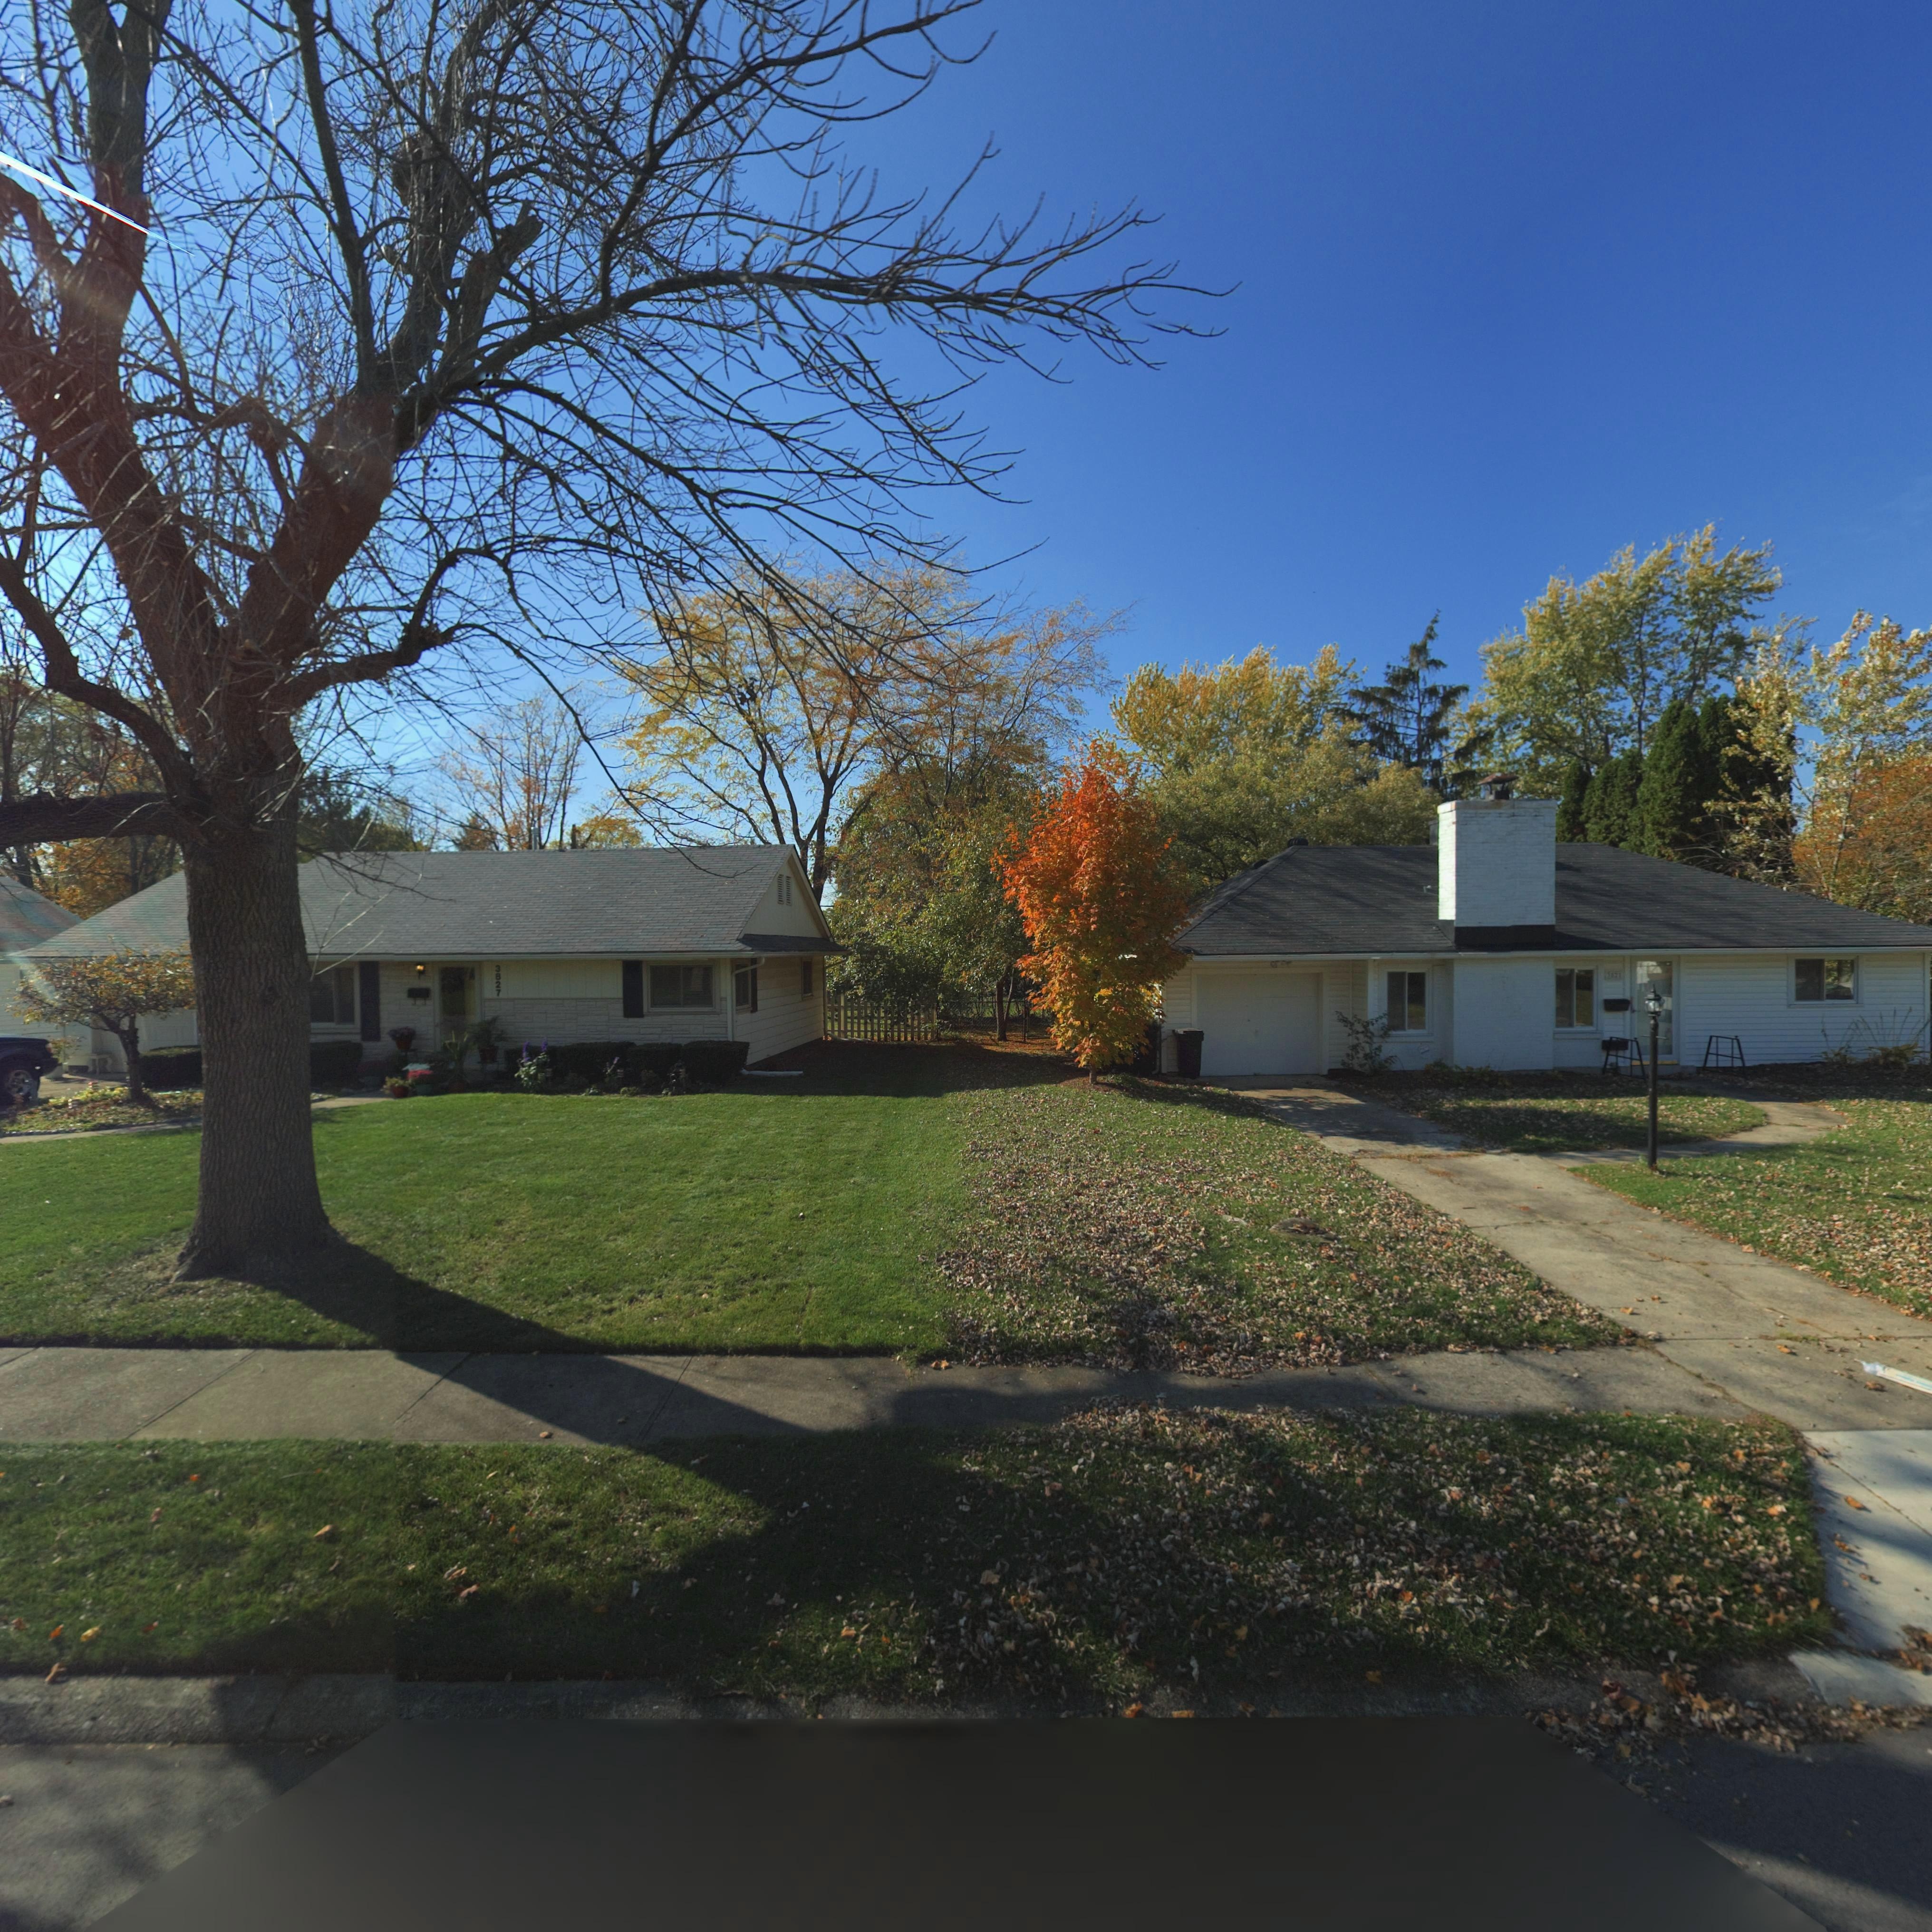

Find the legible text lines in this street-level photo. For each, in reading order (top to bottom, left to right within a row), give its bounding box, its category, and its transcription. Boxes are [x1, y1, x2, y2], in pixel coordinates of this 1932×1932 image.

[494, 963, 502, 998] StreetNumber: 3827